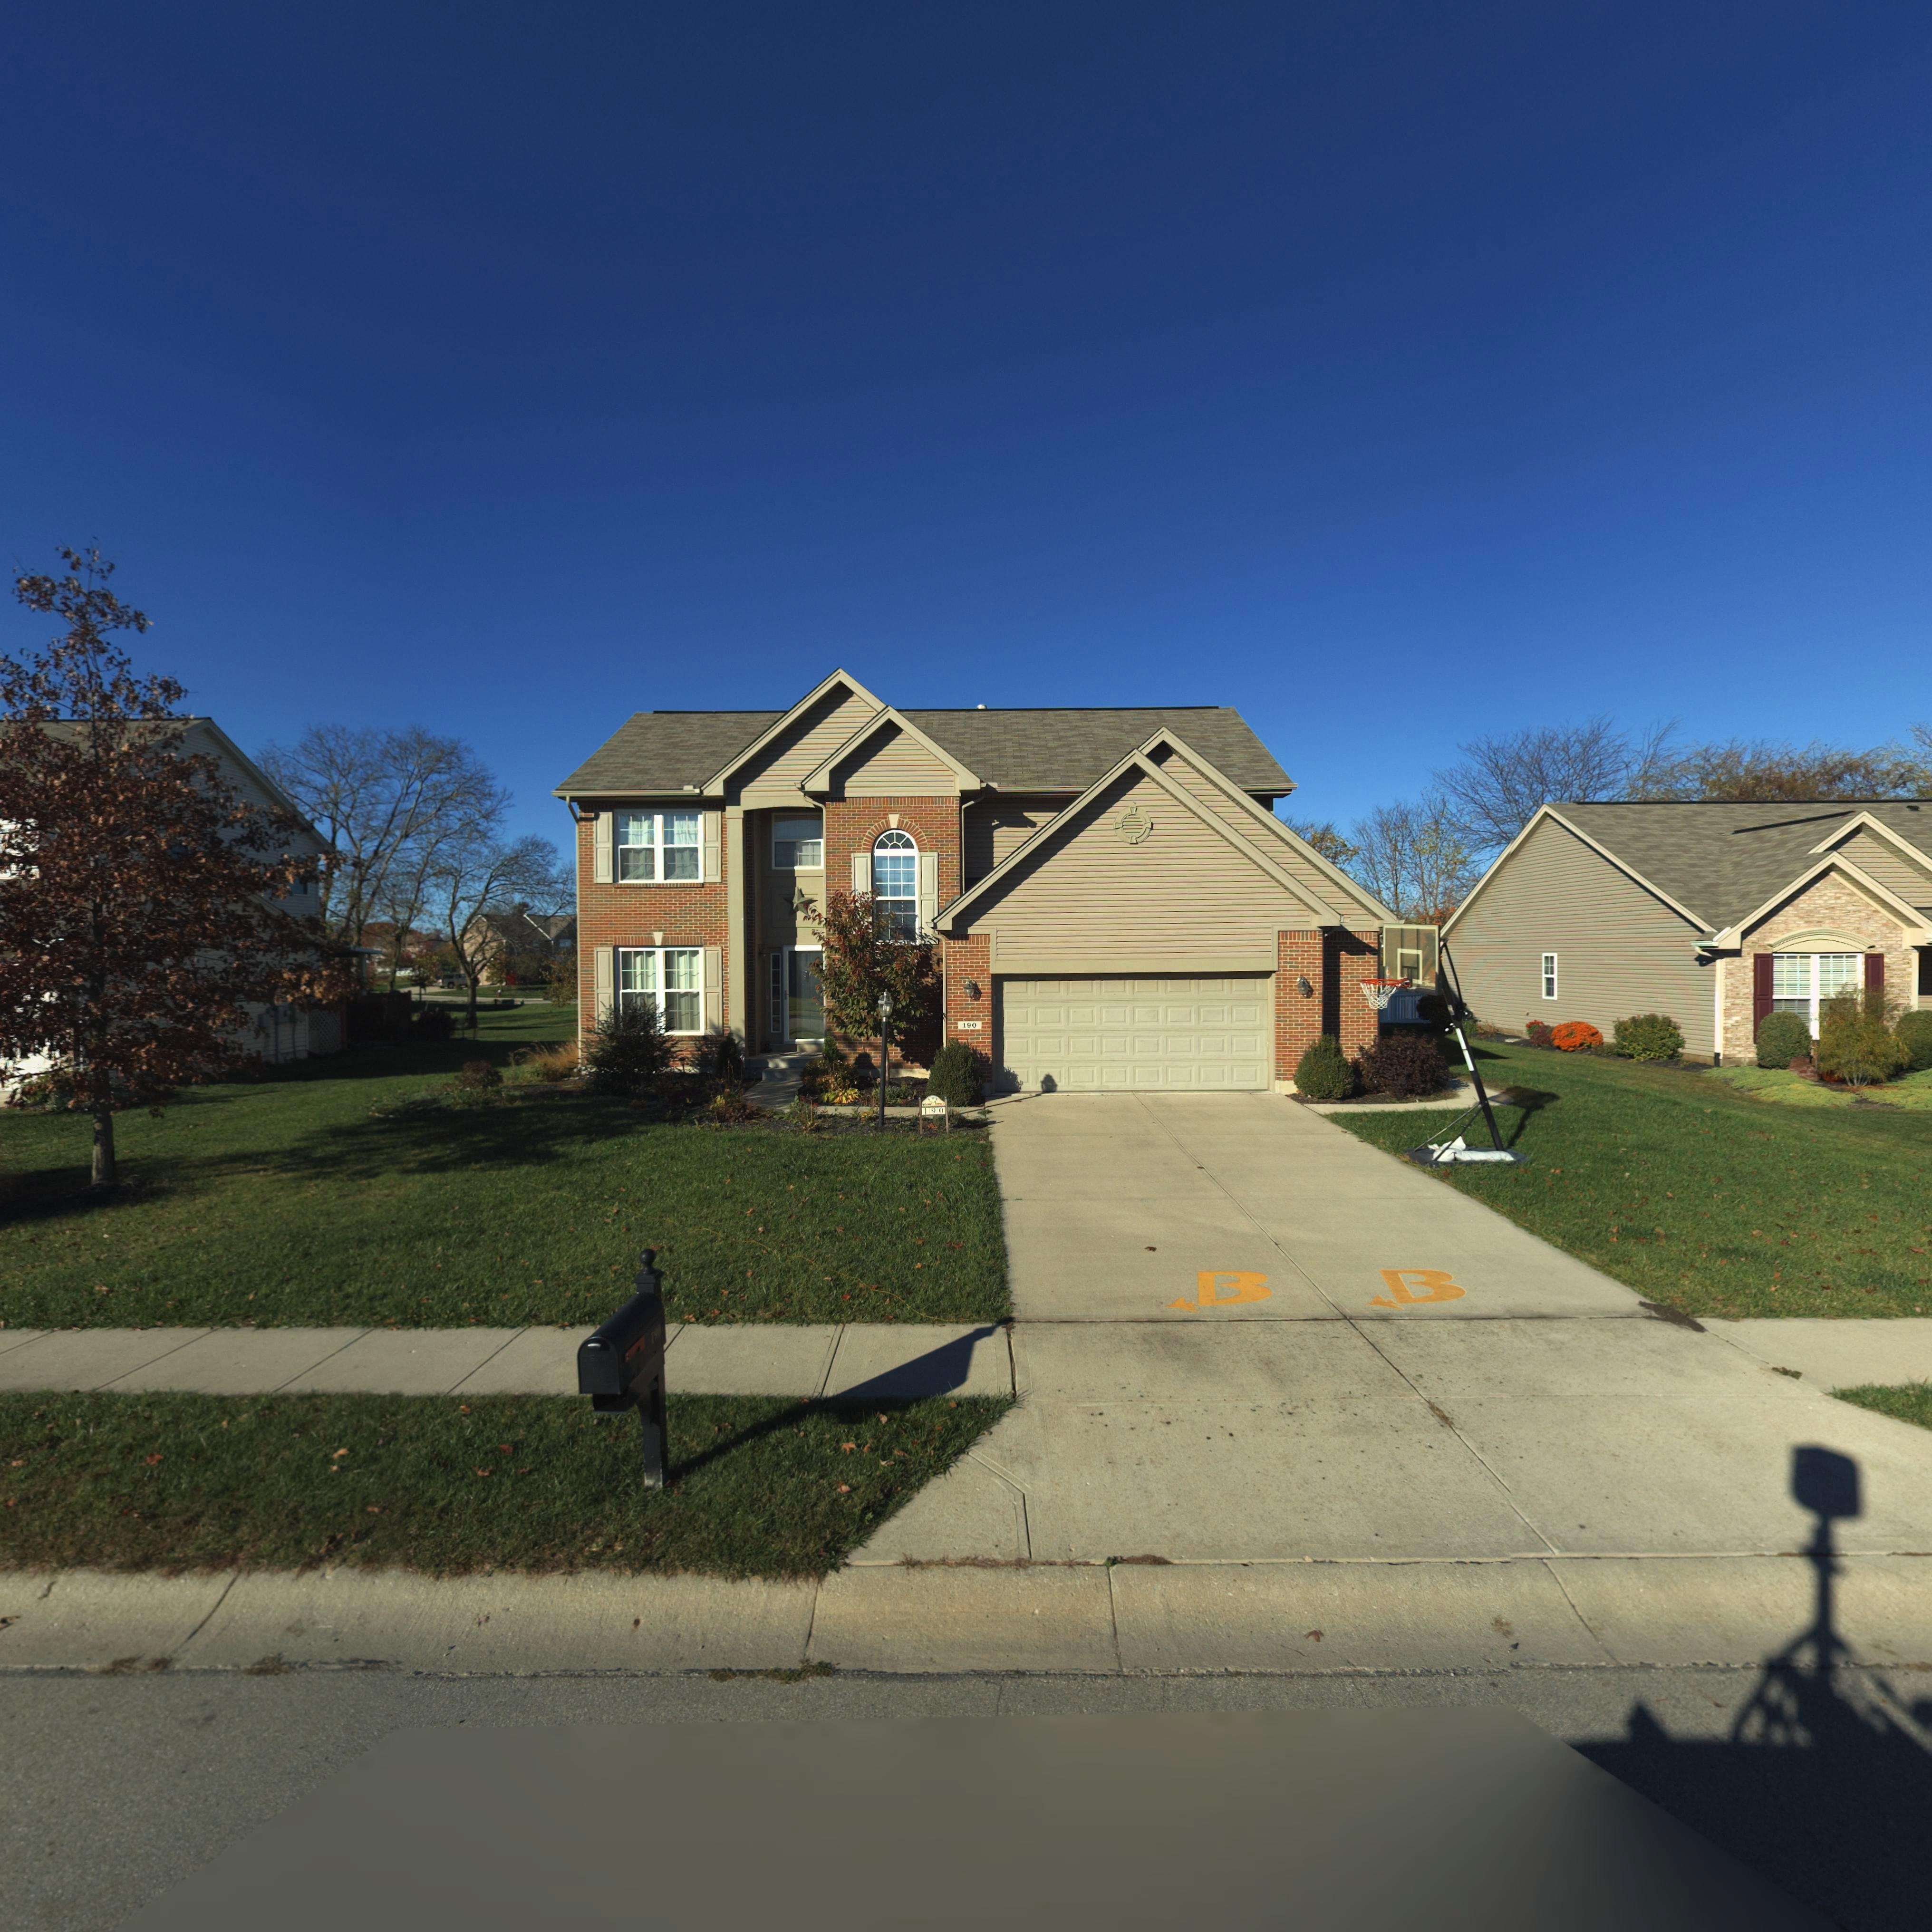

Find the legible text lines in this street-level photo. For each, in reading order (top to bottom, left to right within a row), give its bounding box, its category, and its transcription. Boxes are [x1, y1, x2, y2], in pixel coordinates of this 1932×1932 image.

[963, 1022, 977, 1029] StreetNumber: 190
[924, 1107, 945, 1115] StreetNumber: 190
[649, 1322, 663, 1346] StreetNumber: 19*